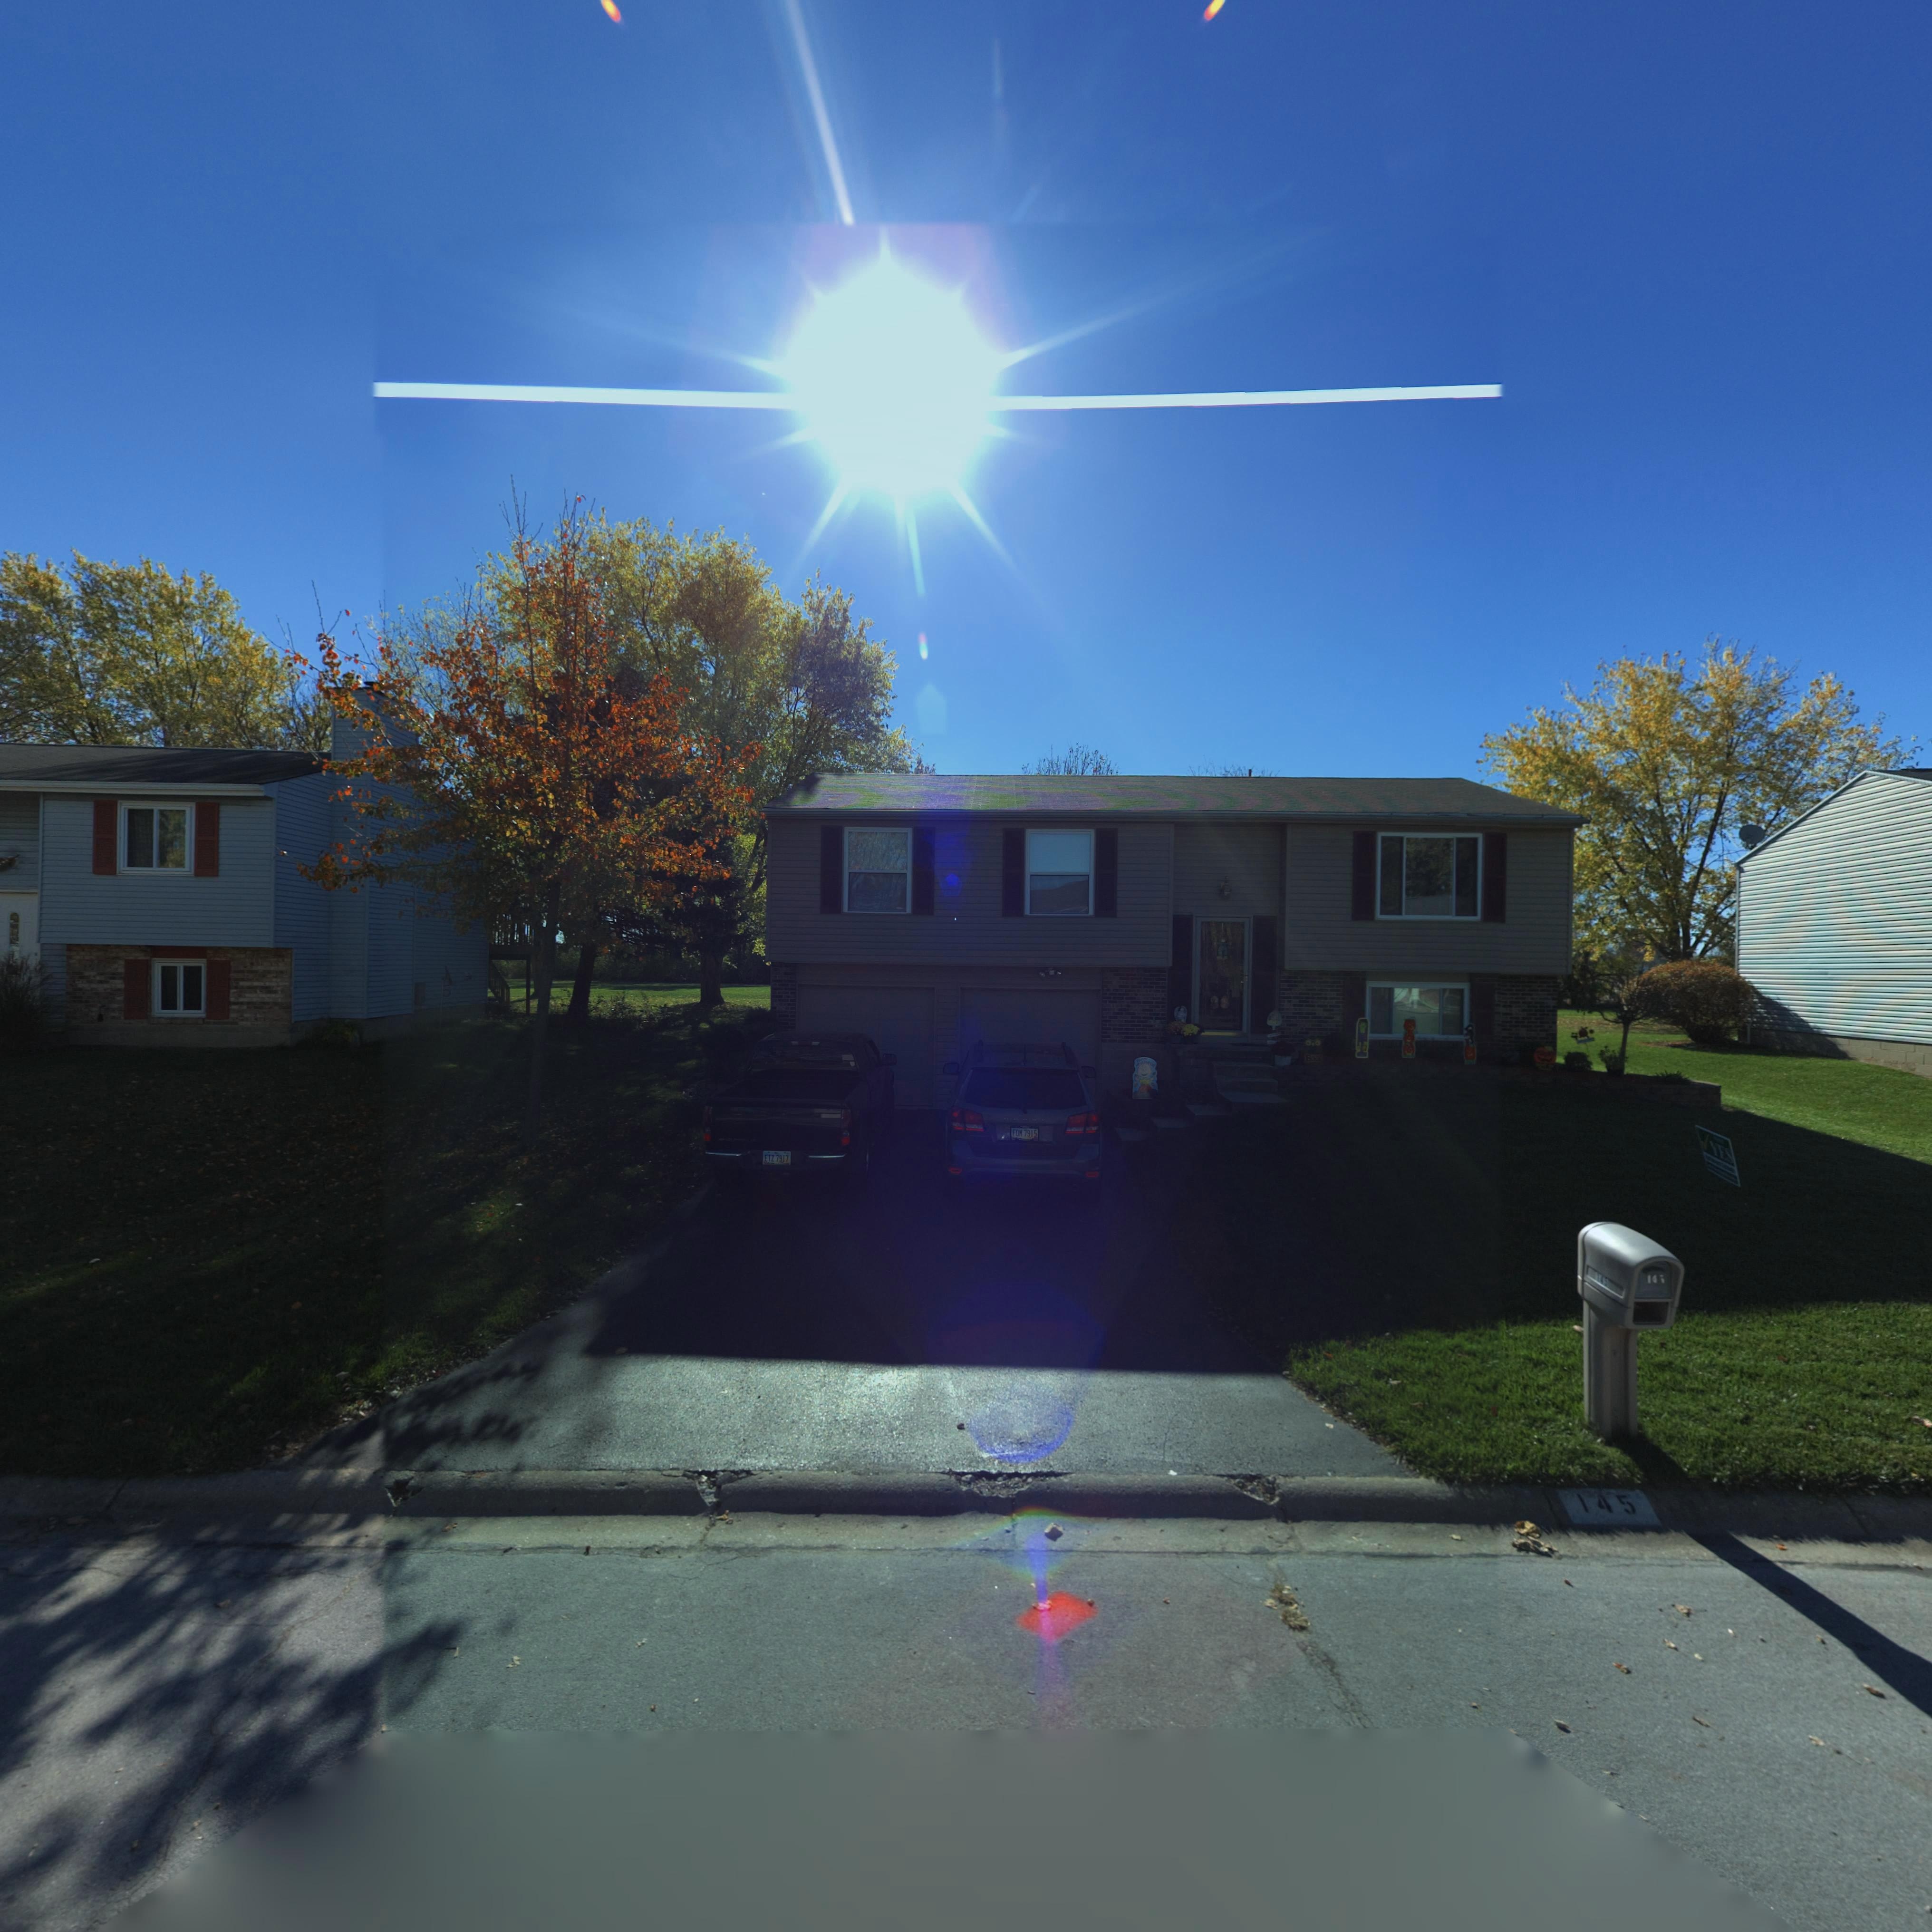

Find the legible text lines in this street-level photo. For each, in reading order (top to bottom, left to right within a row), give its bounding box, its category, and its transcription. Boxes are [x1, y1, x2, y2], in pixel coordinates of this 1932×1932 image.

[1596, 1270, 1609, 1288] StreetNumber: 145
[1646, 1273, 1667, 1285] StreetNumber: 14*
[1573, 1490, 1639, 1516] StreetNumber: 145